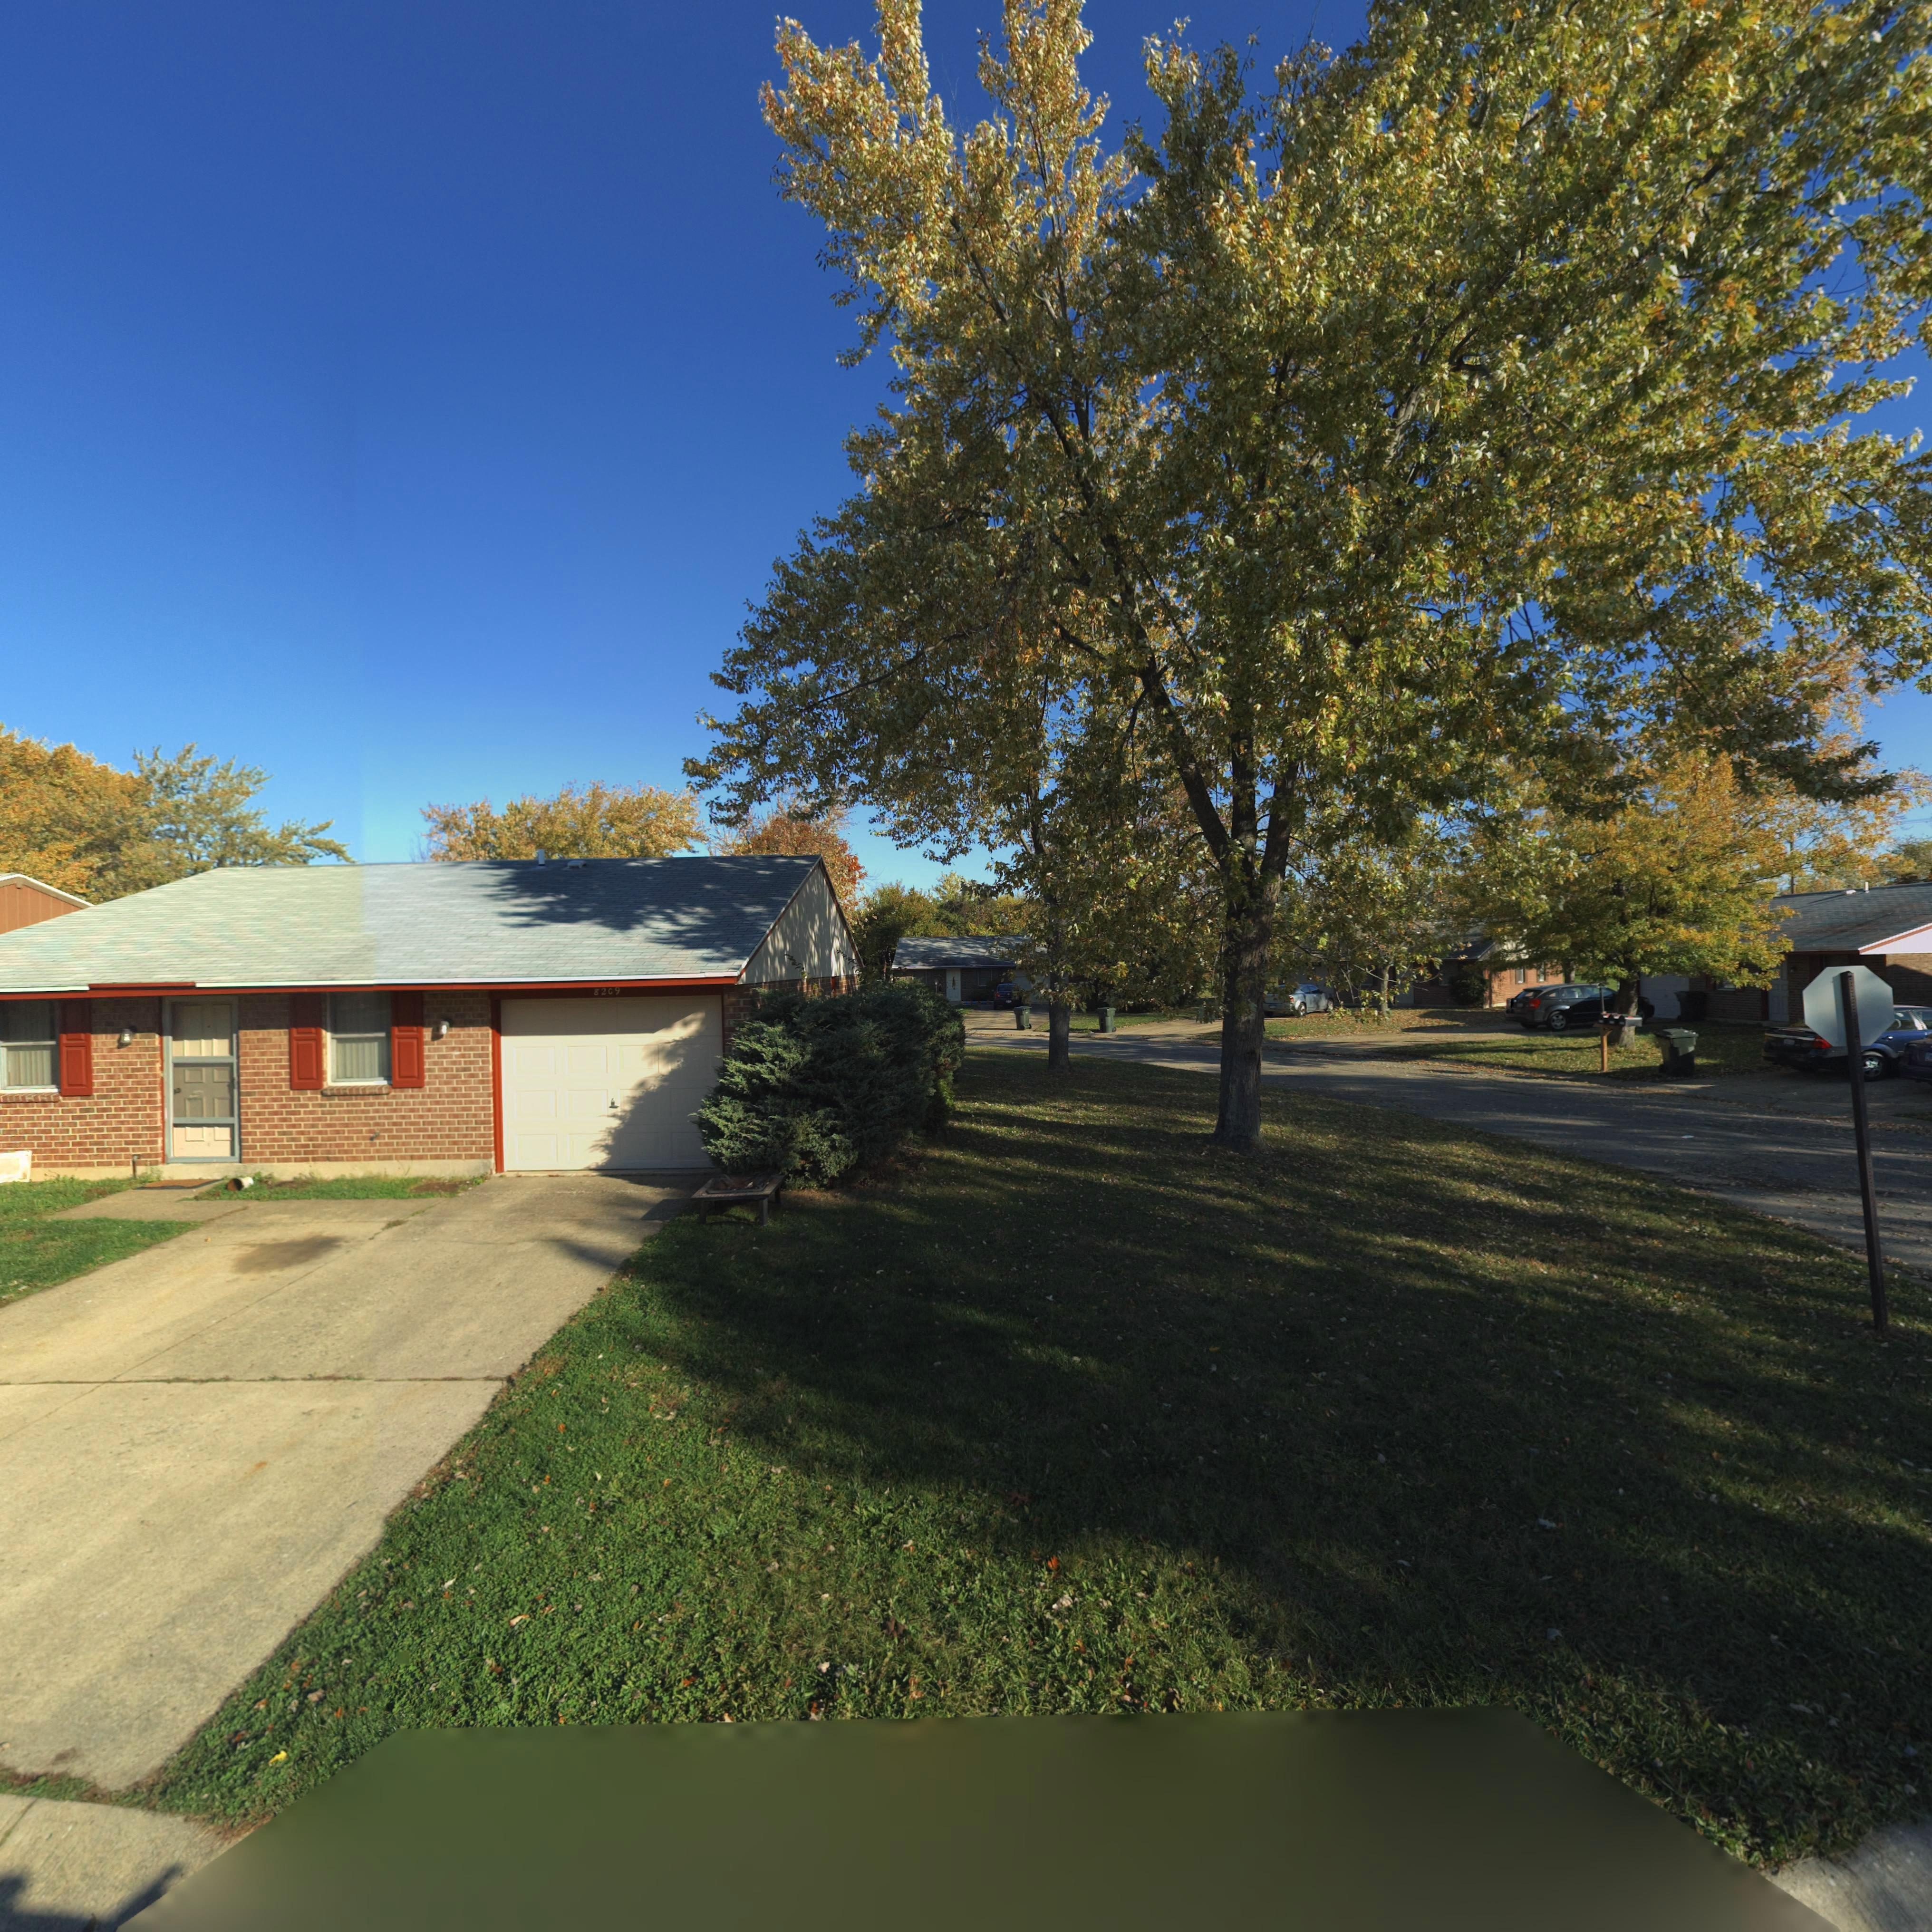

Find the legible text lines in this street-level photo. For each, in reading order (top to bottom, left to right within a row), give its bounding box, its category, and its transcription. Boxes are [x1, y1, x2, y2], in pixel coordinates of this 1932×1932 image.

[593, 986, 621, 996] StreetNumber: 8209